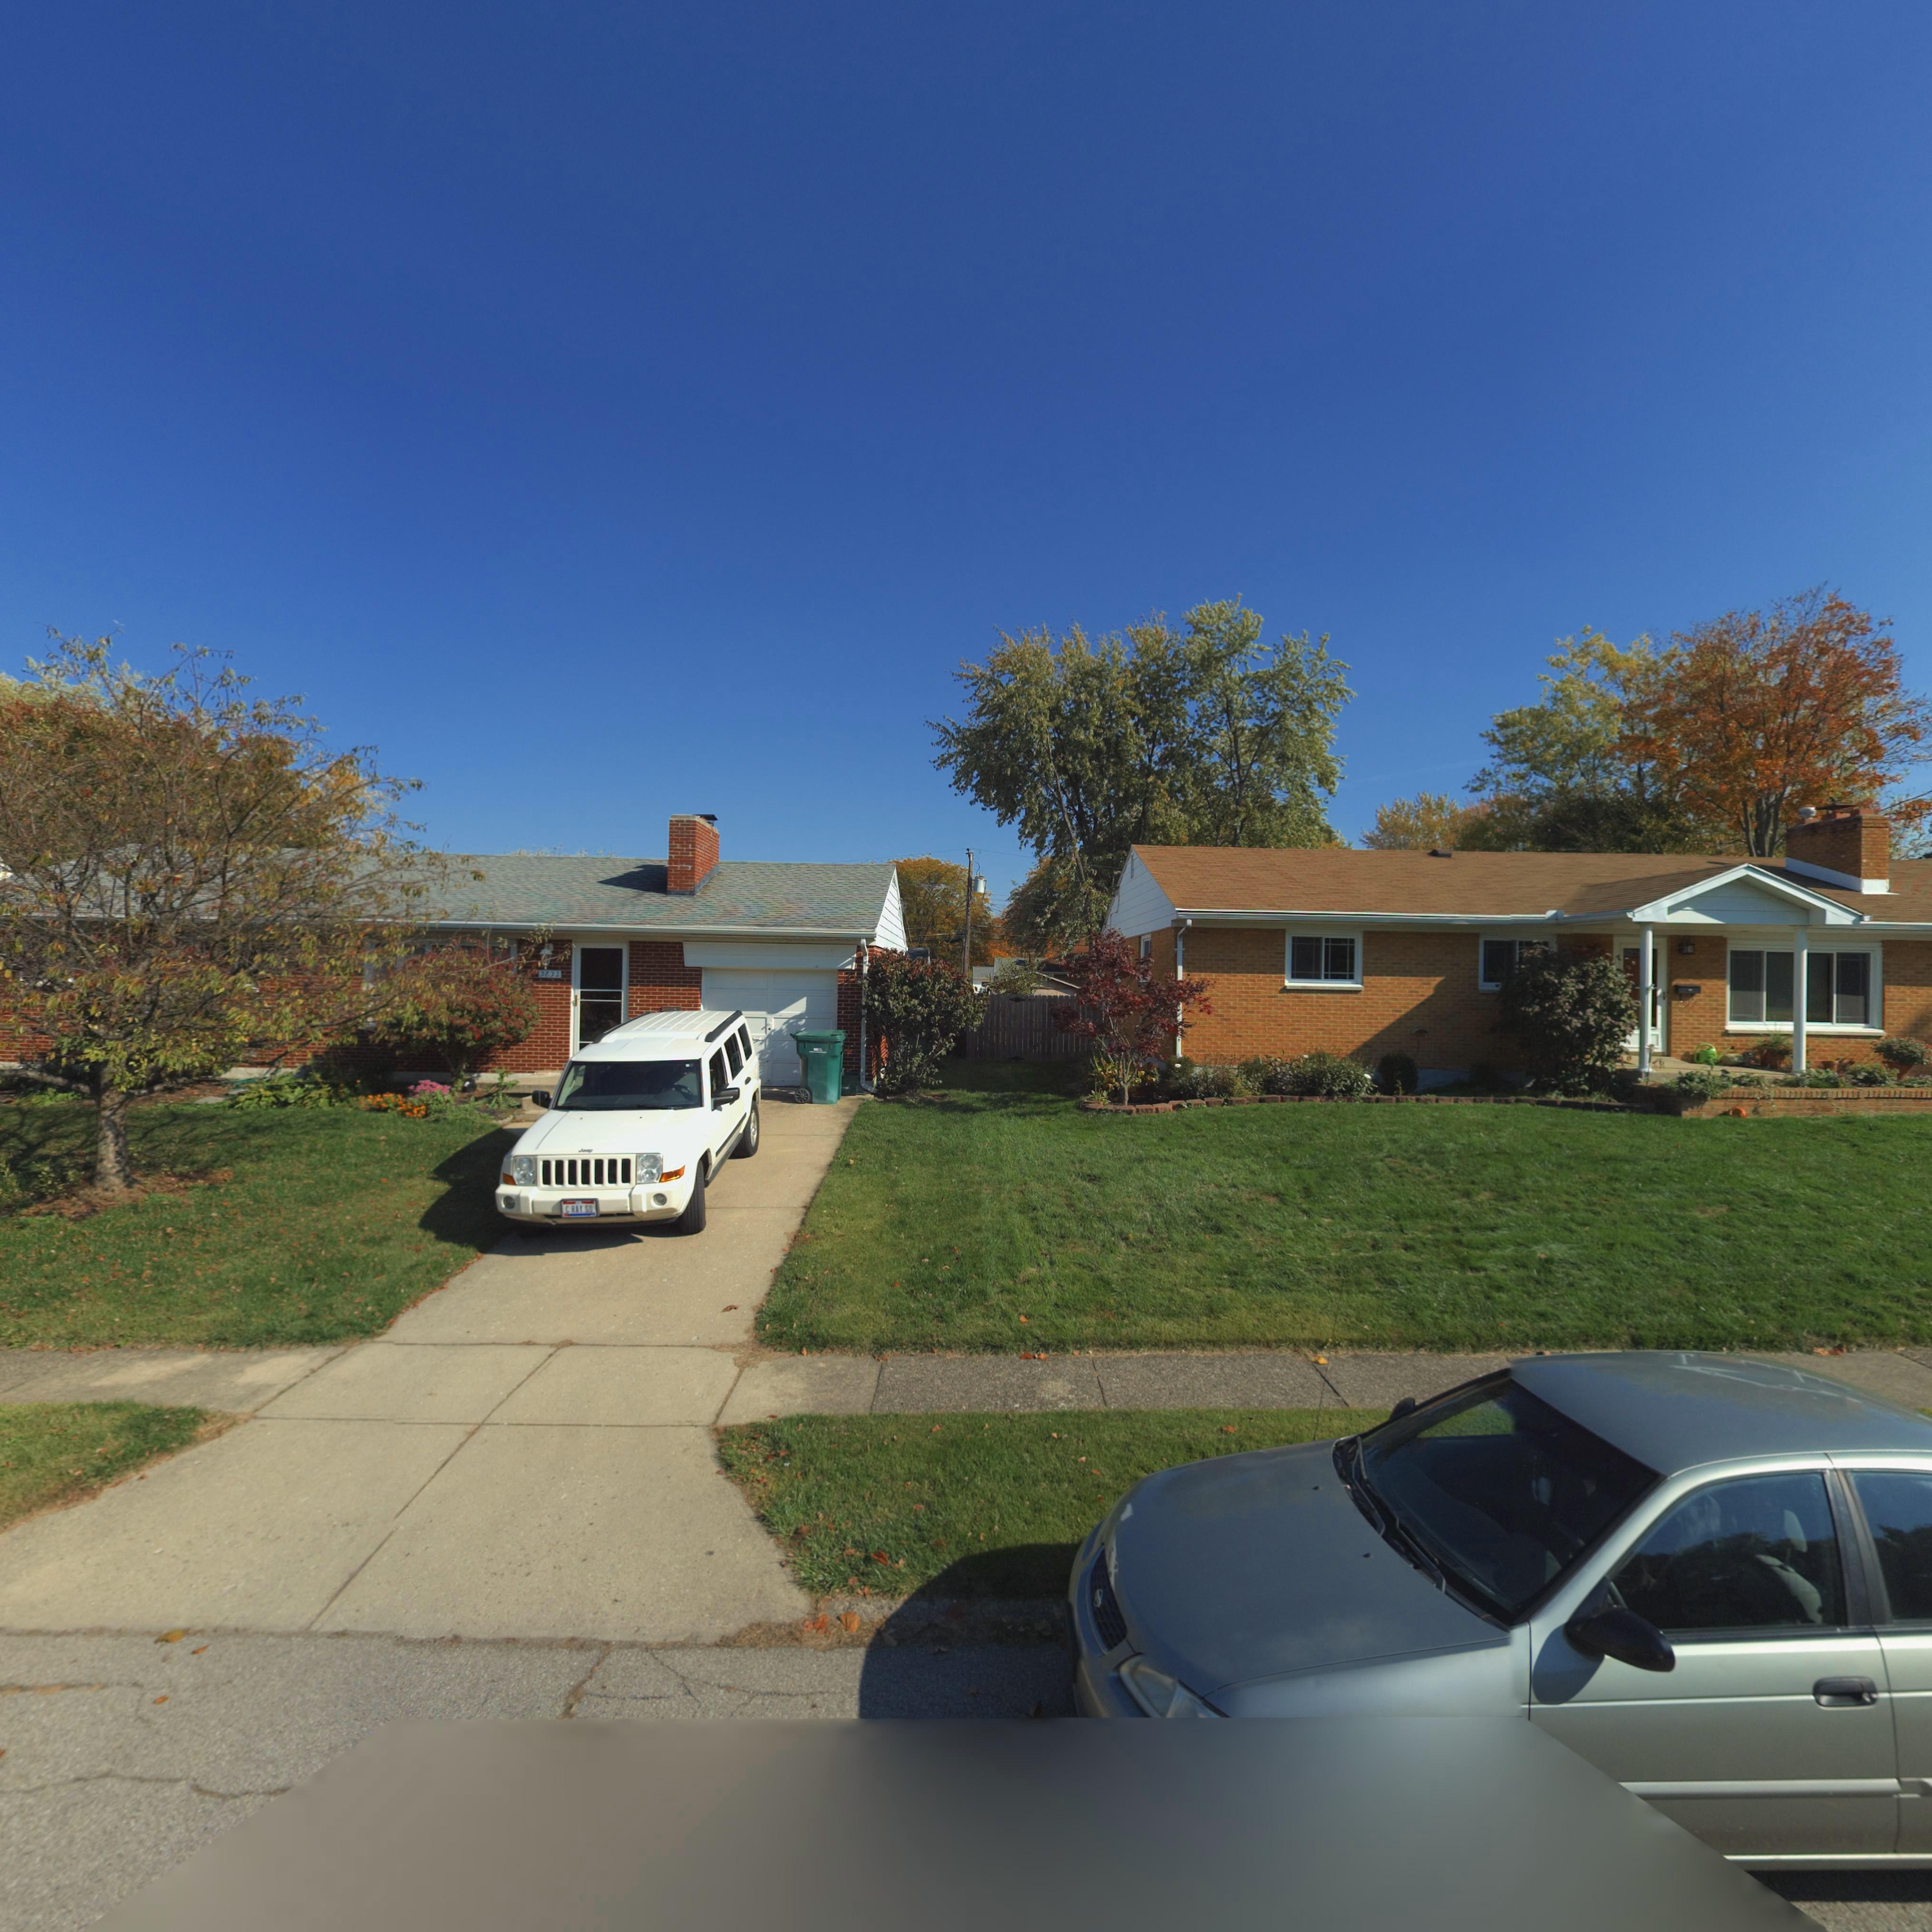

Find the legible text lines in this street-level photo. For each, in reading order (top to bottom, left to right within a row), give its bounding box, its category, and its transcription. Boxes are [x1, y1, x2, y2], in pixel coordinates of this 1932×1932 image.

[538, 970, 560, 977] StreetNumber: 3832
[813, 1047, 823, 1051] None: WM
[578, 1148, 594, 1154] None: Jeep
[565, 1205, 593, 1214] None: C RAY GO